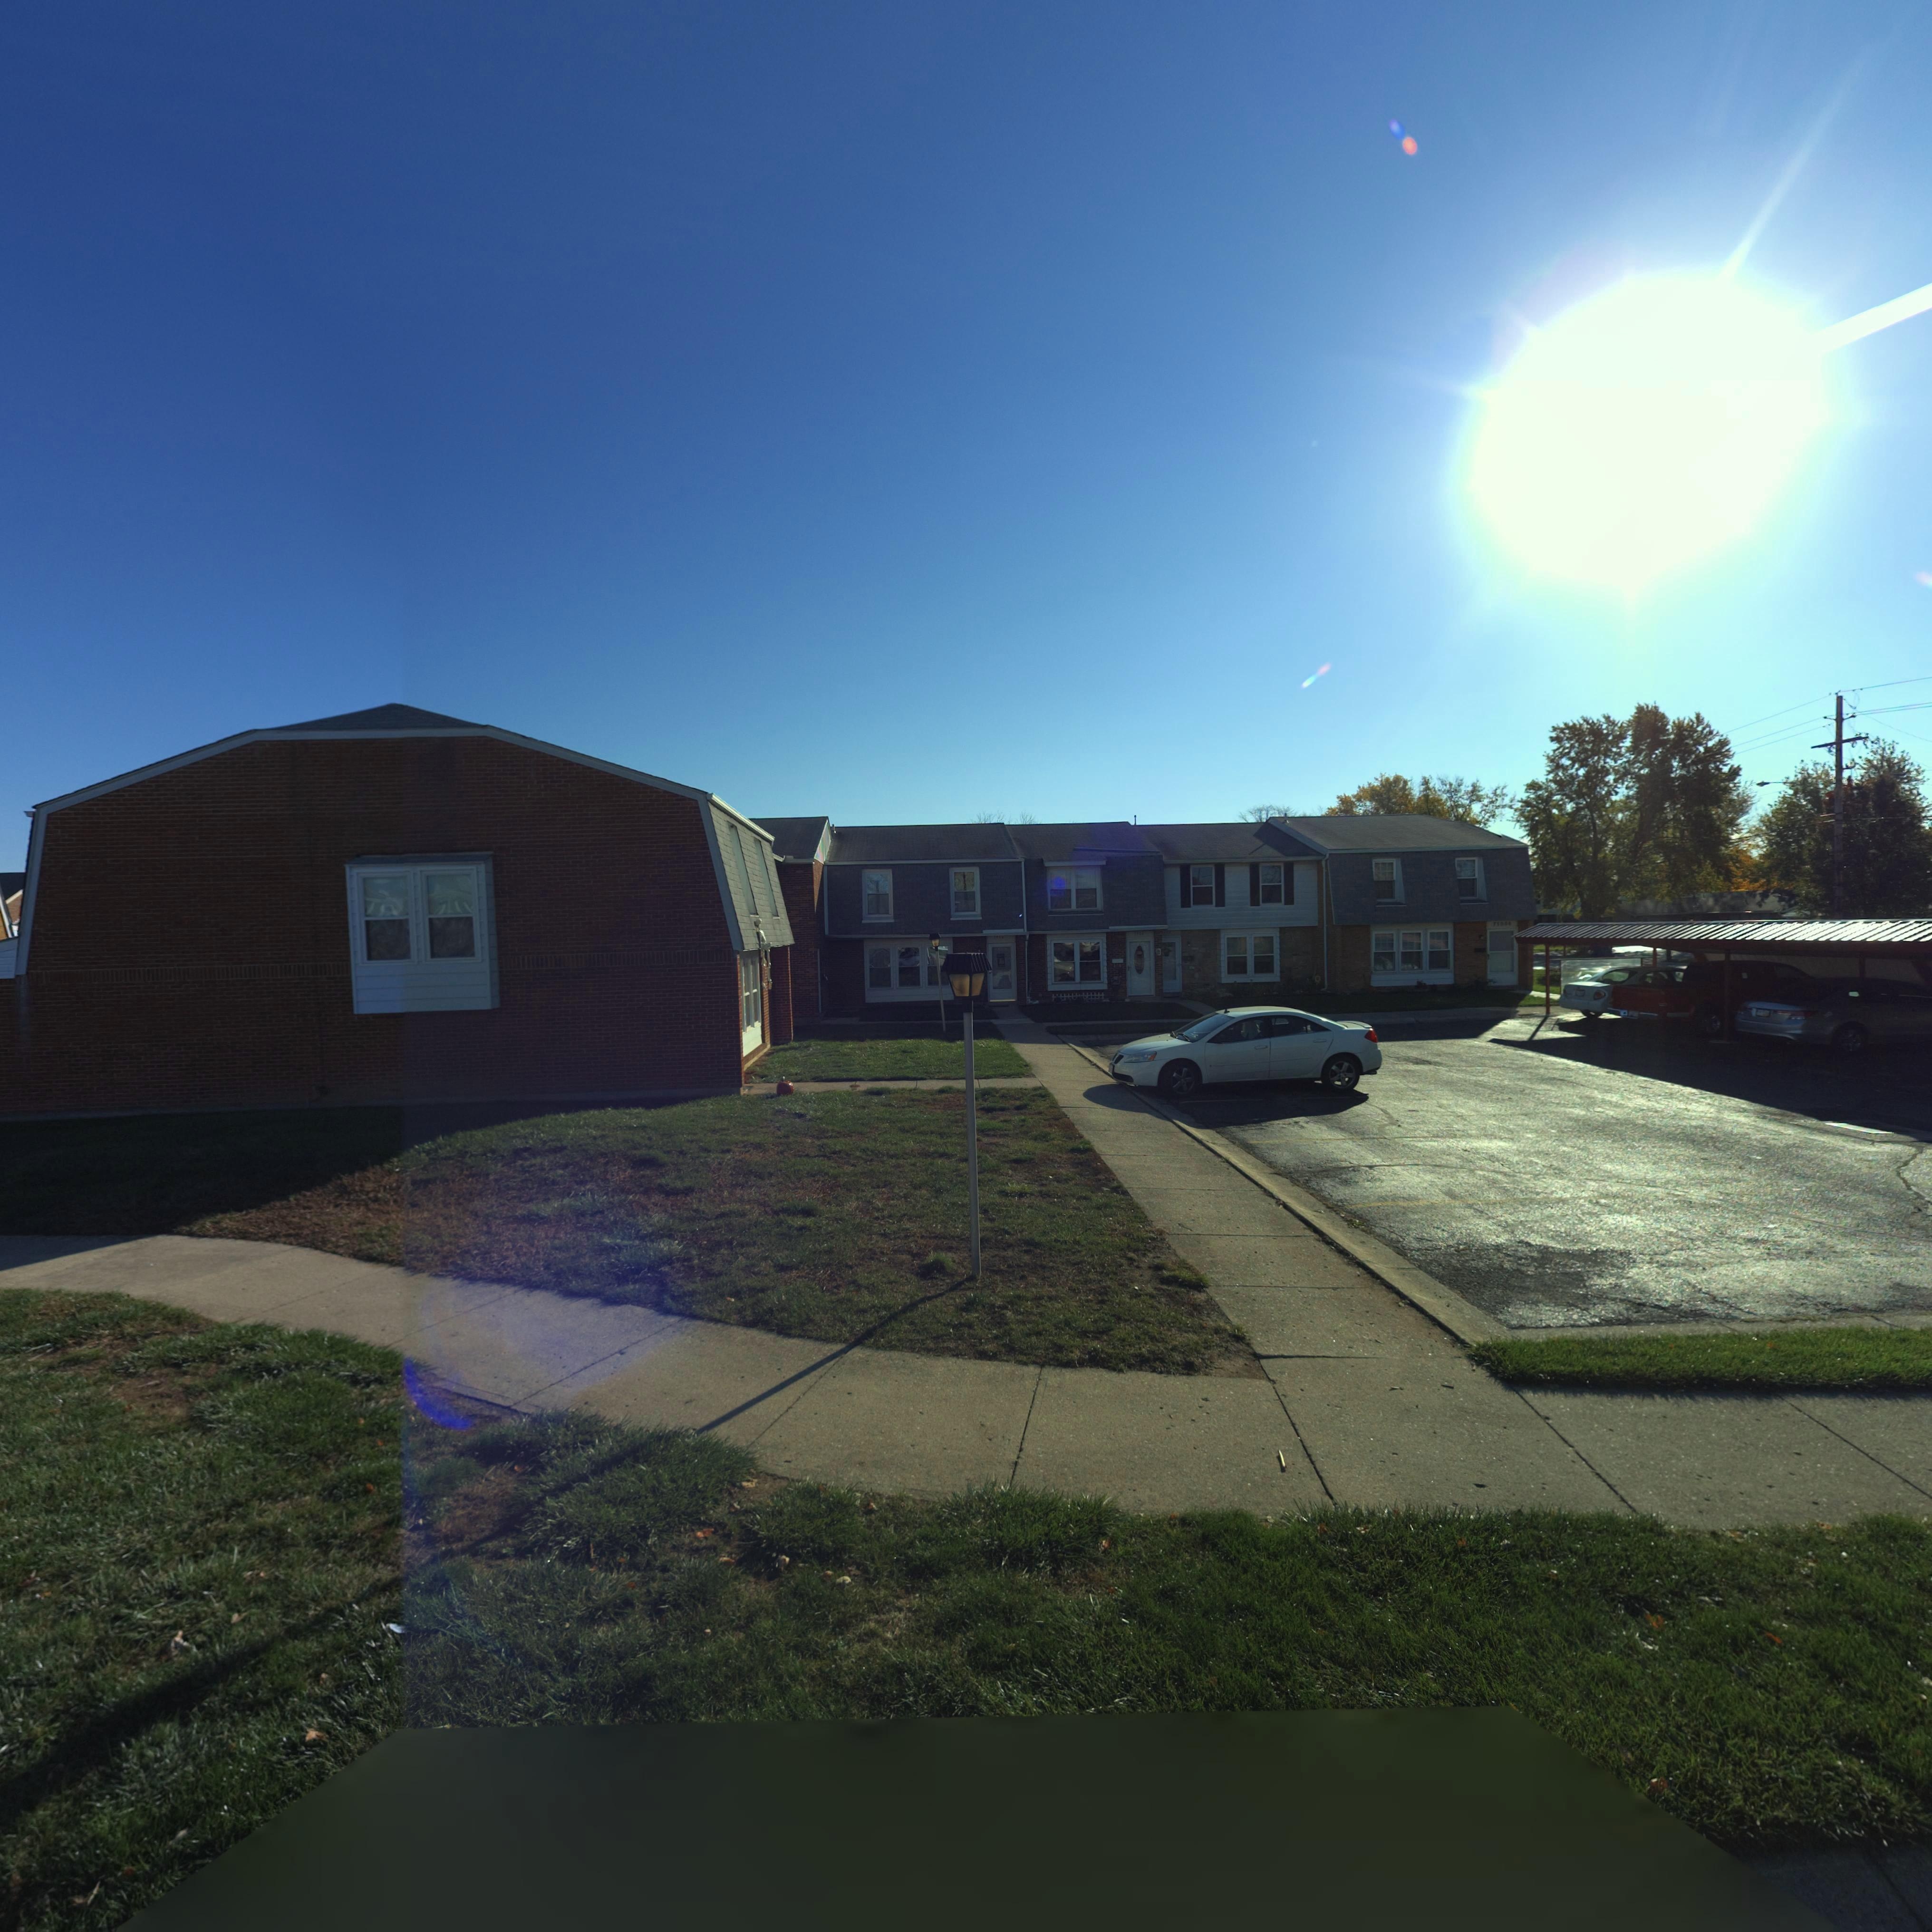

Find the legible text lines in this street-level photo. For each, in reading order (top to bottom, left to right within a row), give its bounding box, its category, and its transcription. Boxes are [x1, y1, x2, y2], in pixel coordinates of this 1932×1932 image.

[1492, 921, 1512, 927] StreetNumber: 75*00
[1133, 931, 1144, 936] StreetNumber: 75*4
[1001, 935, 1004, 939] StreetNumber: 8